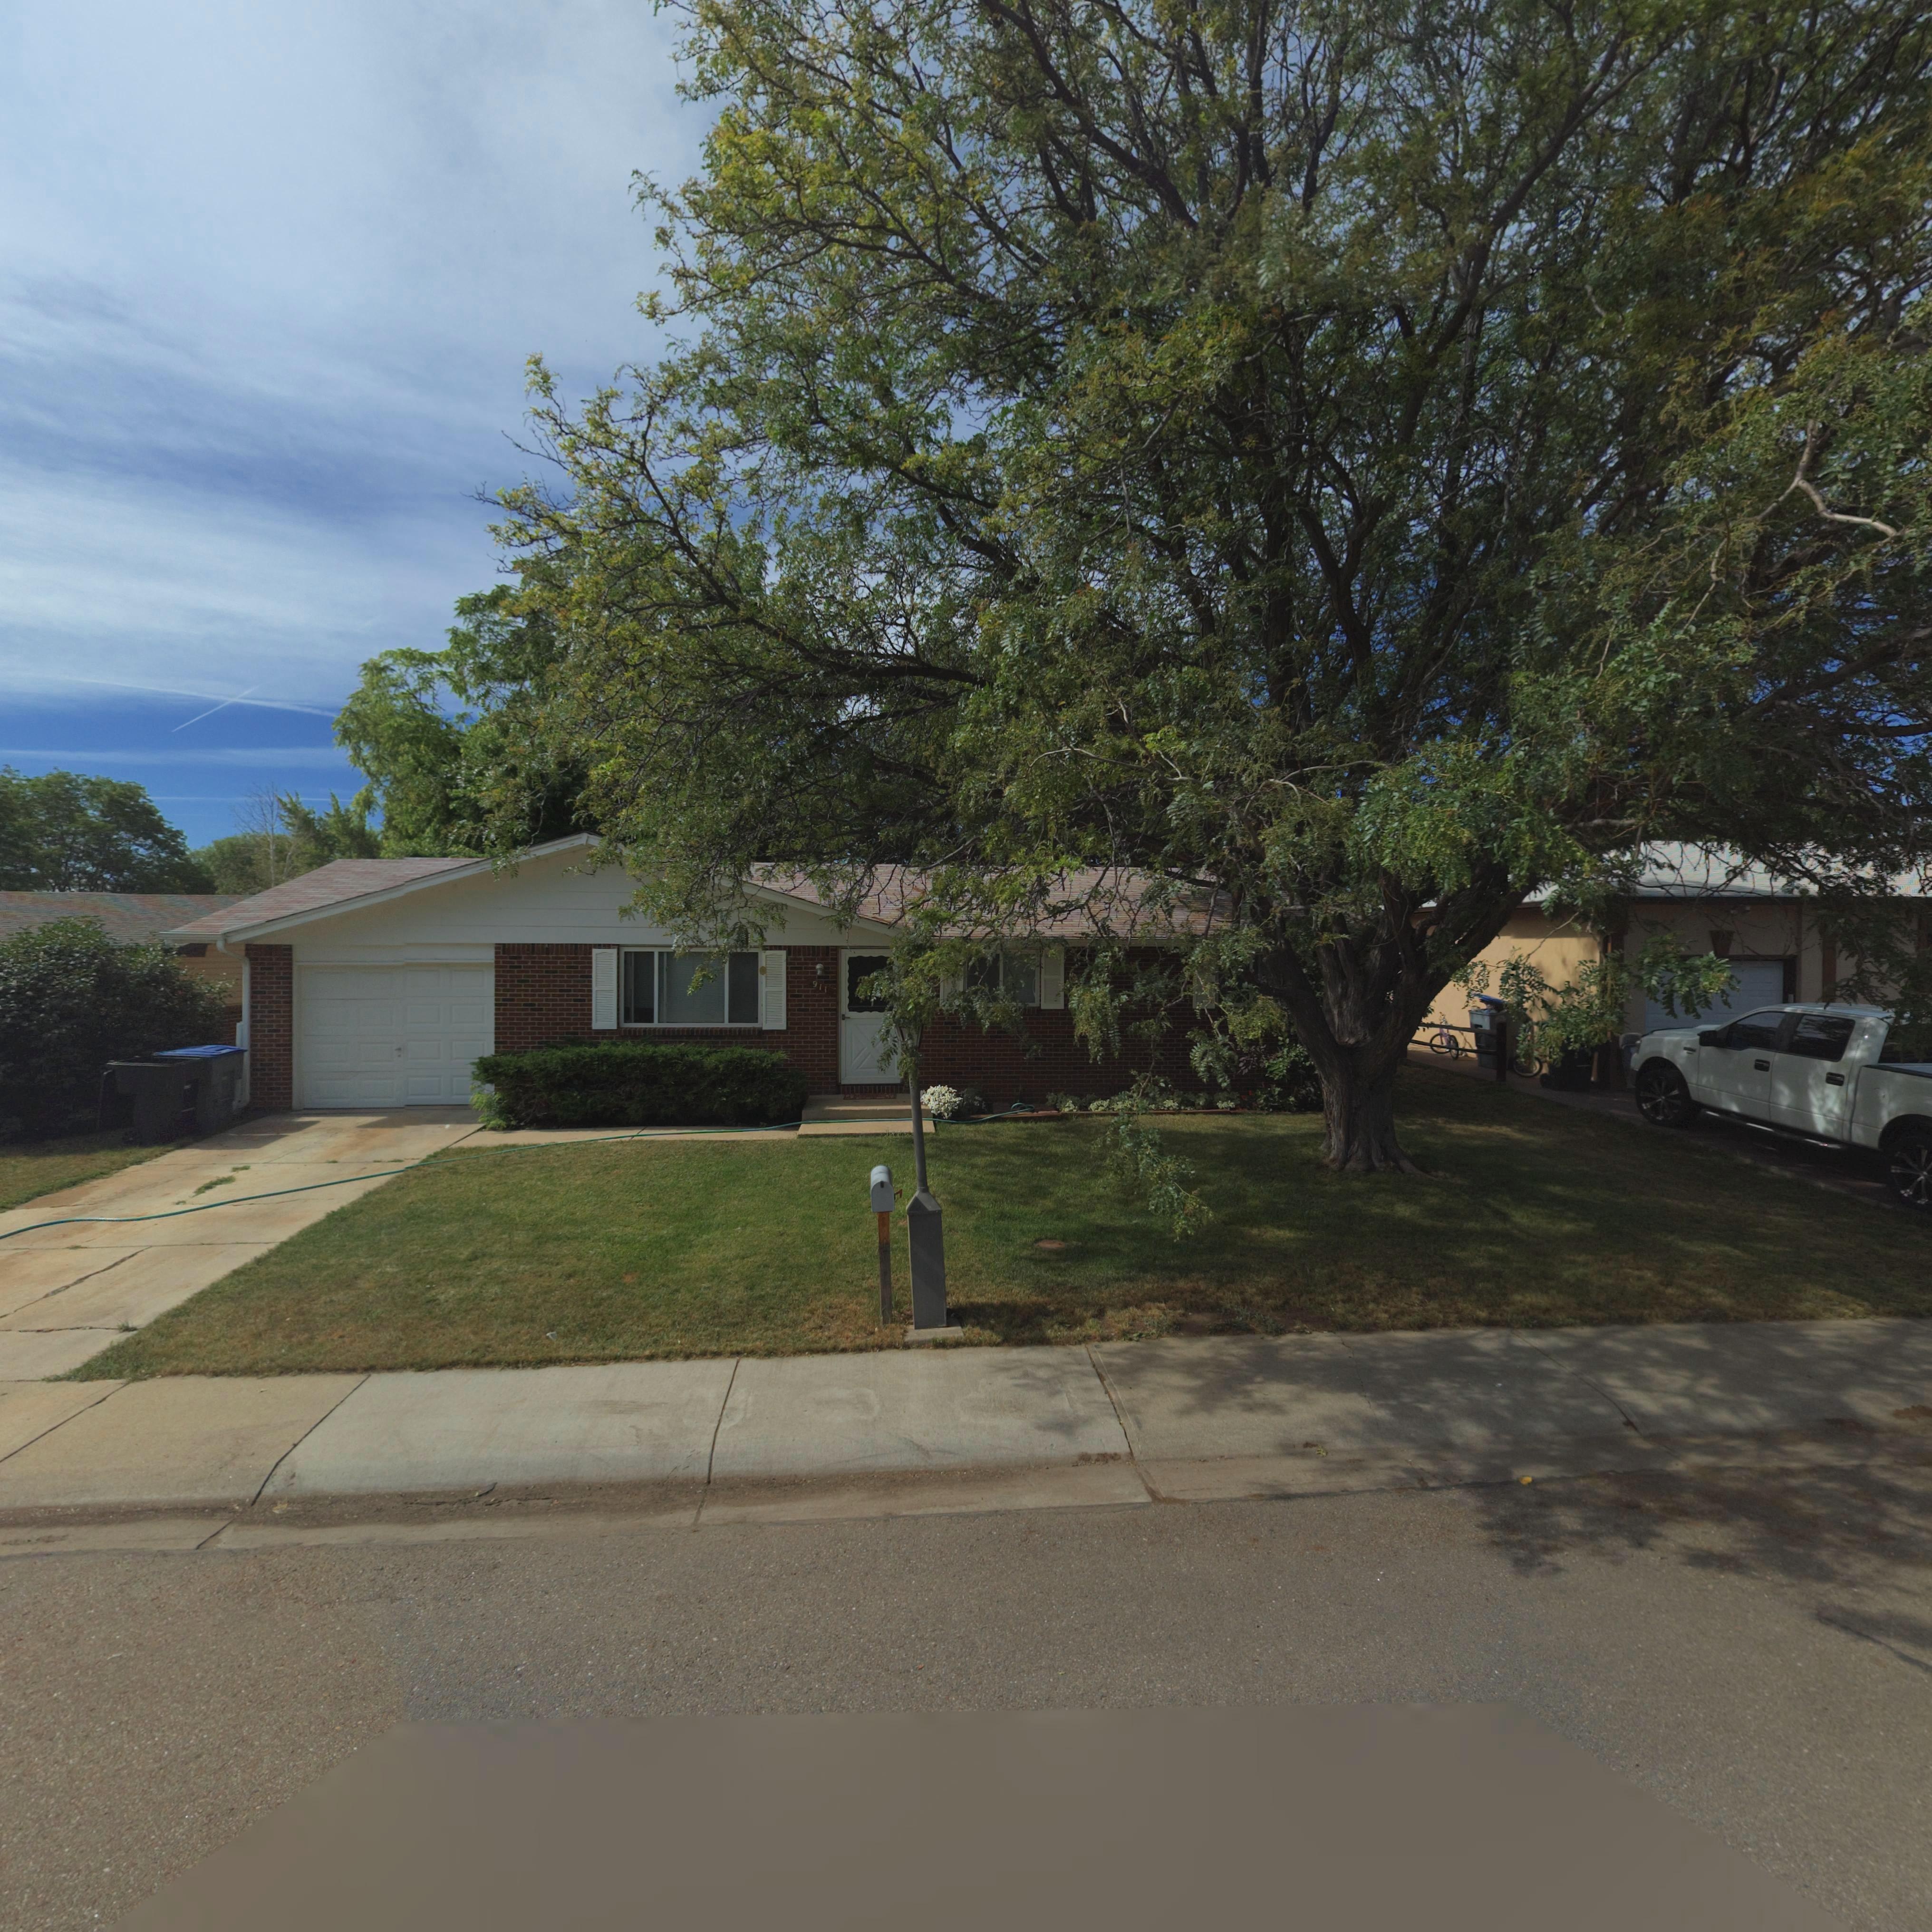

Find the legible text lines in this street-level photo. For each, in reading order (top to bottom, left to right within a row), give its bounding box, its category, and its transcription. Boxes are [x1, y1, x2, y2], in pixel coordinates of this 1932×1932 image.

[812, 980, 826, 993] StreetNumber: 911